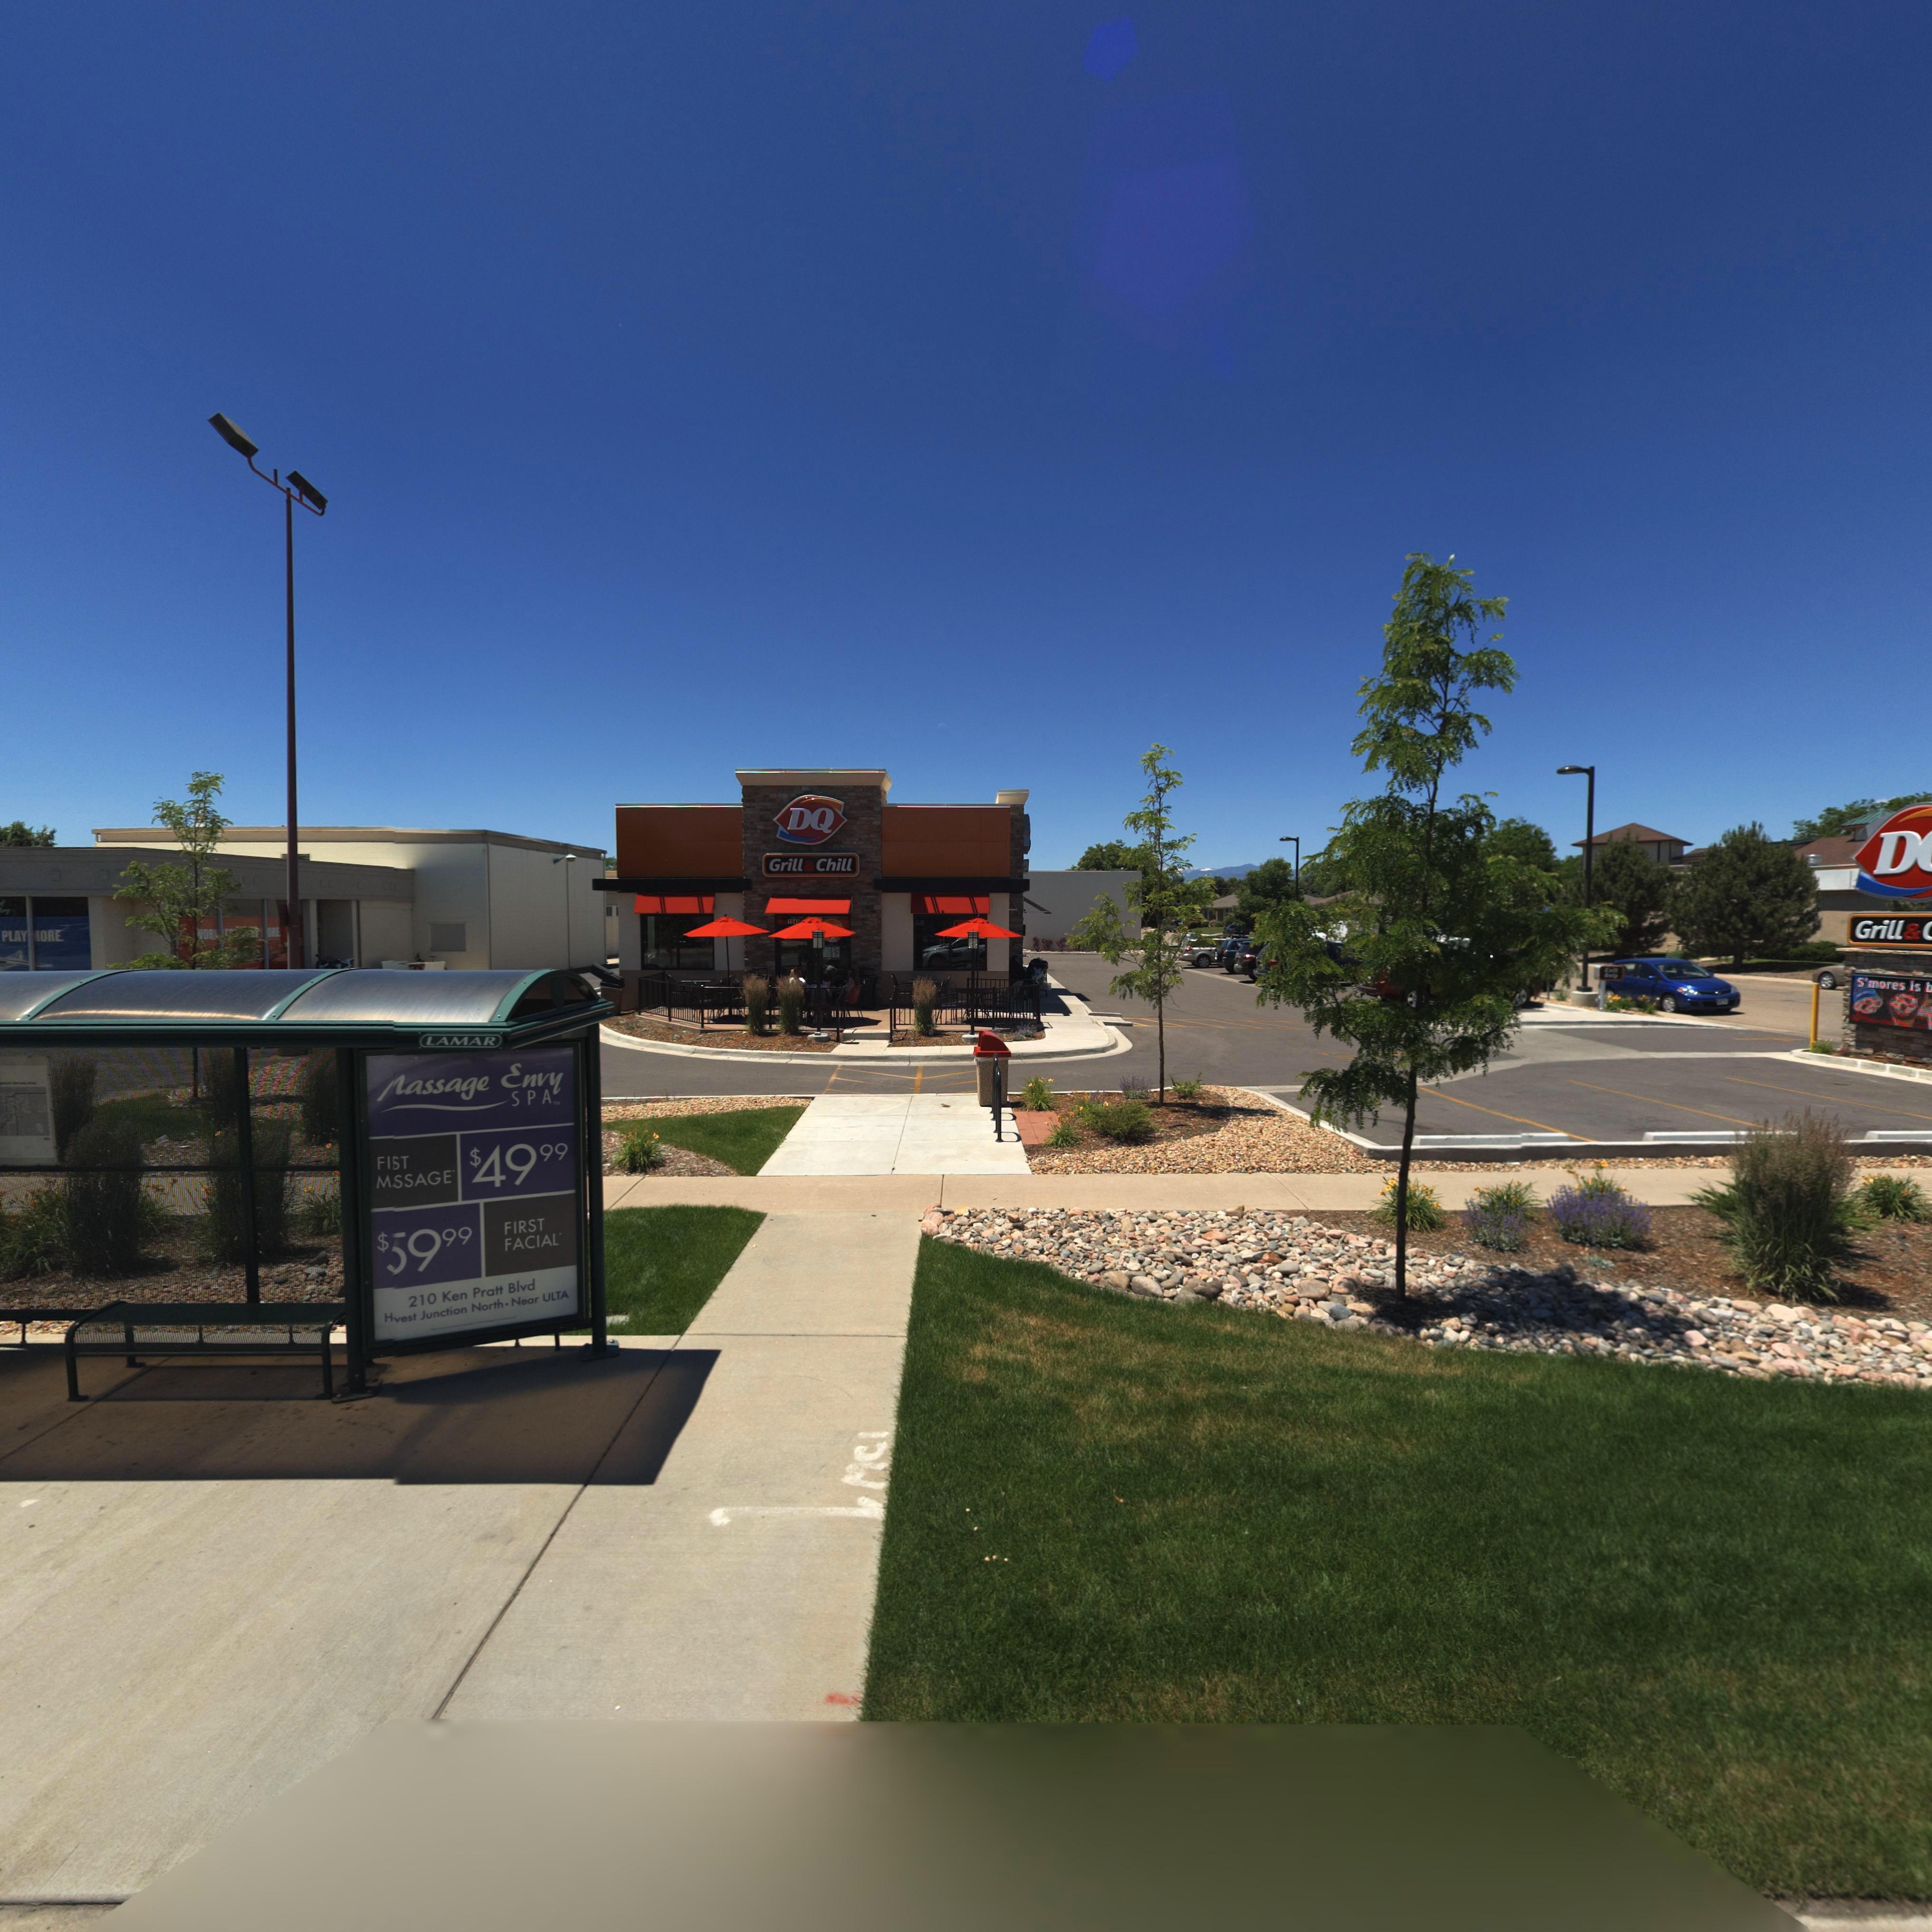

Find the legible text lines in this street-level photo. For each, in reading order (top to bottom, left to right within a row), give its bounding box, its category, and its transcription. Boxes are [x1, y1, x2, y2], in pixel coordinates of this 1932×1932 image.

[785, 806, 836, 834] BusinessName: DQ
[768, 857, 855, 872] BusinessName: Grill&Chill
[1871, 829, 1922, 876] BusinessName: D
[1854, 918, 1922, 941] BusinessName: Grill&
[408, 1291, 438, 1308] StreetNumber: 210
[441, 1276, 536, 1303] StreetName: Ken Pratt Blvd